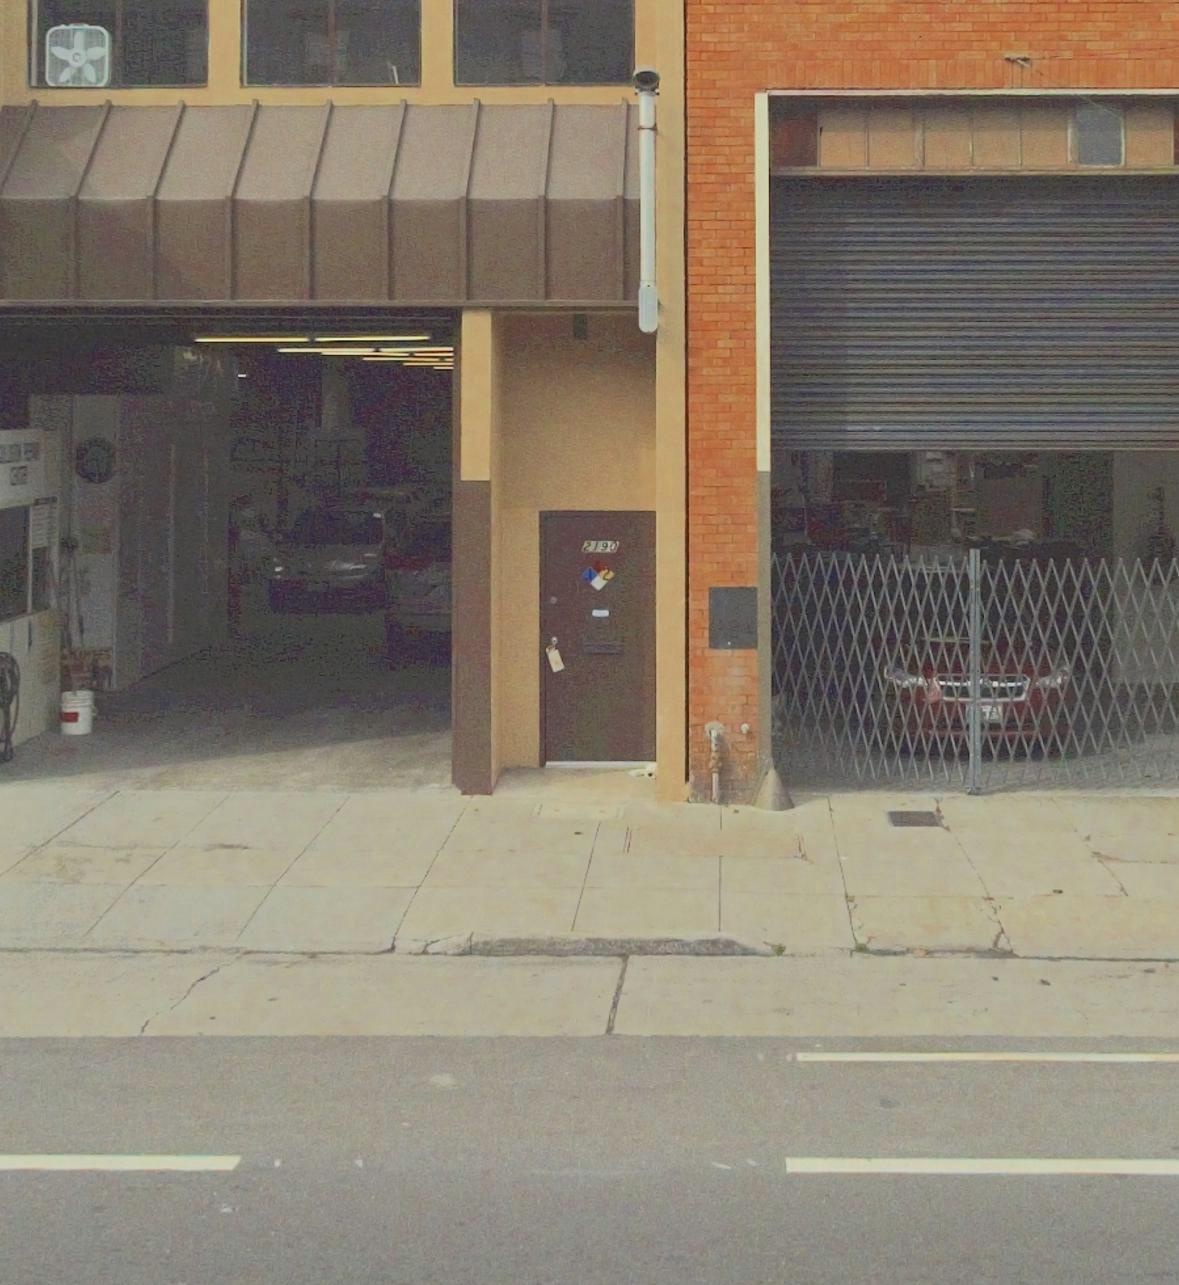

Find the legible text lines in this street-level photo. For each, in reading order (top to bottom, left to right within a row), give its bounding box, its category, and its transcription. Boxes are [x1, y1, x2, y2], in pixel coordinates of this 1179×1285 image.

[582, 540, 621, 552] StreetNumber: 2190
[587, 566, 595, 581] None: 1
[602, 566, 611, 581] None: 2